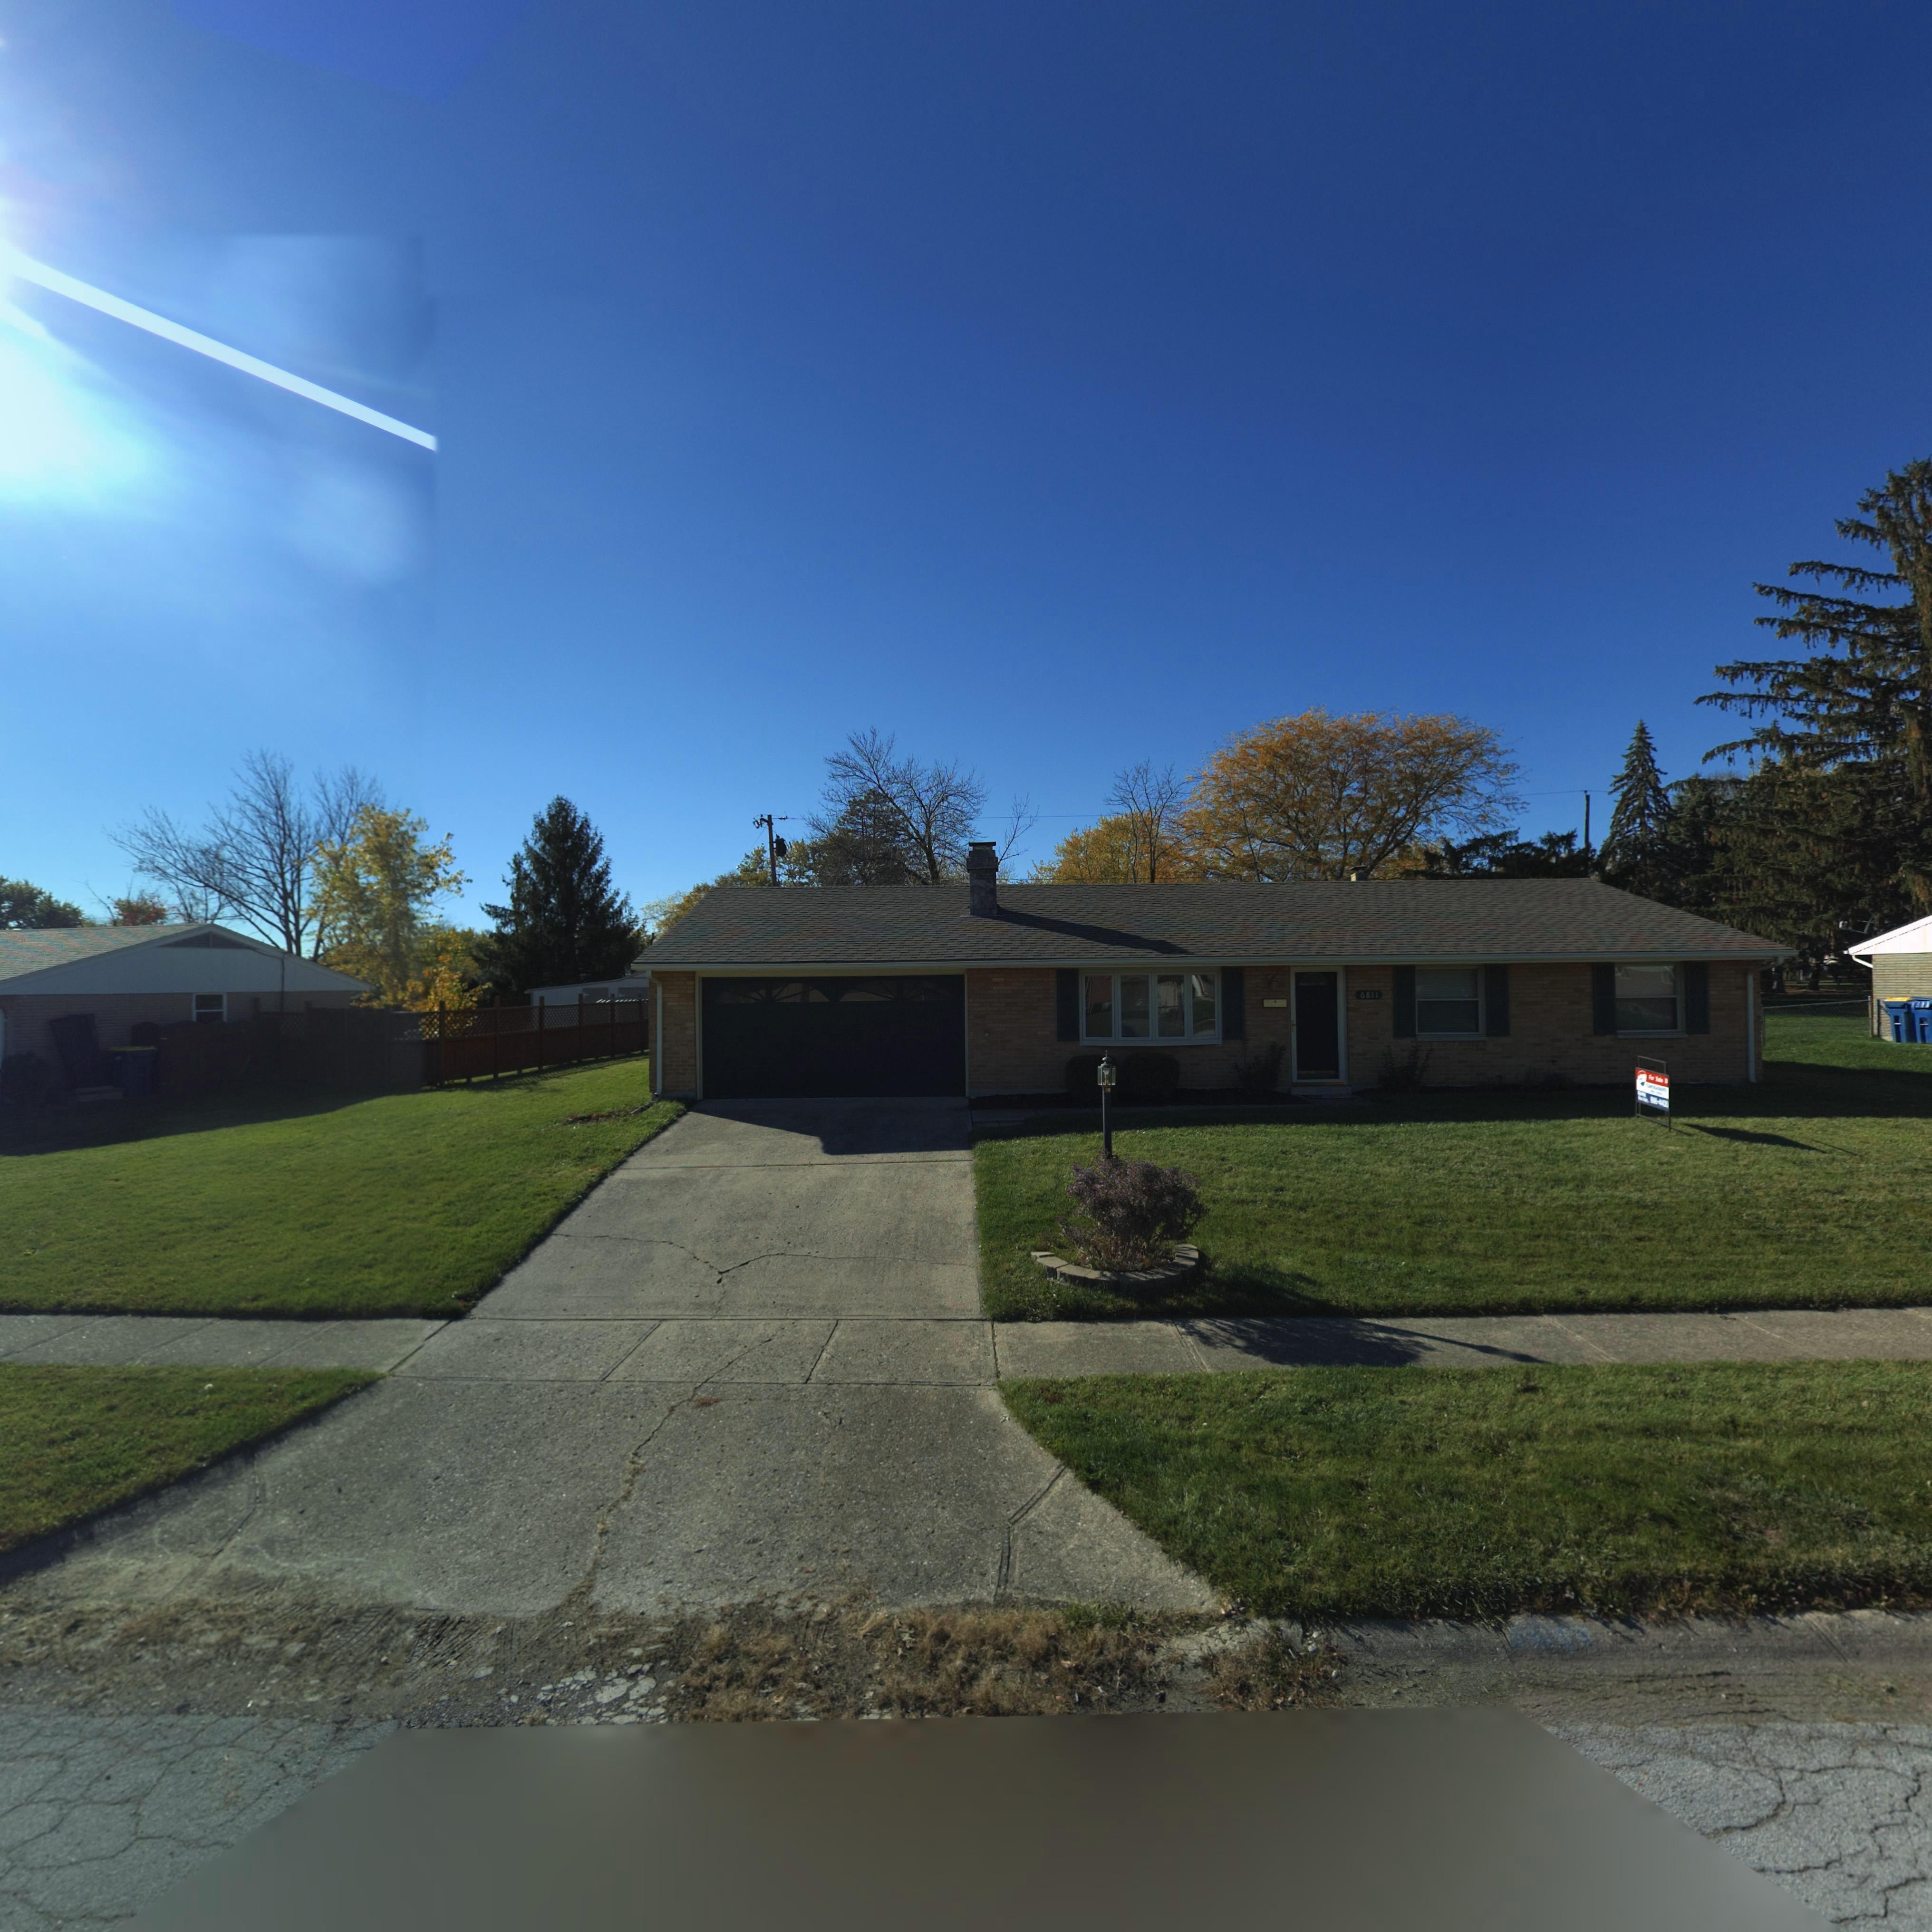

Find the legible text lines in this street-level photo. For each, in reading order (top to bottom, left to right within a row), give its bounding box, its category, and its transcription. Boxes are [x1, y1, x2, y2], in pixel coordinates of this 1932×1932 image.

[1360, 991, 1378, 999] StreetNumber: 6811